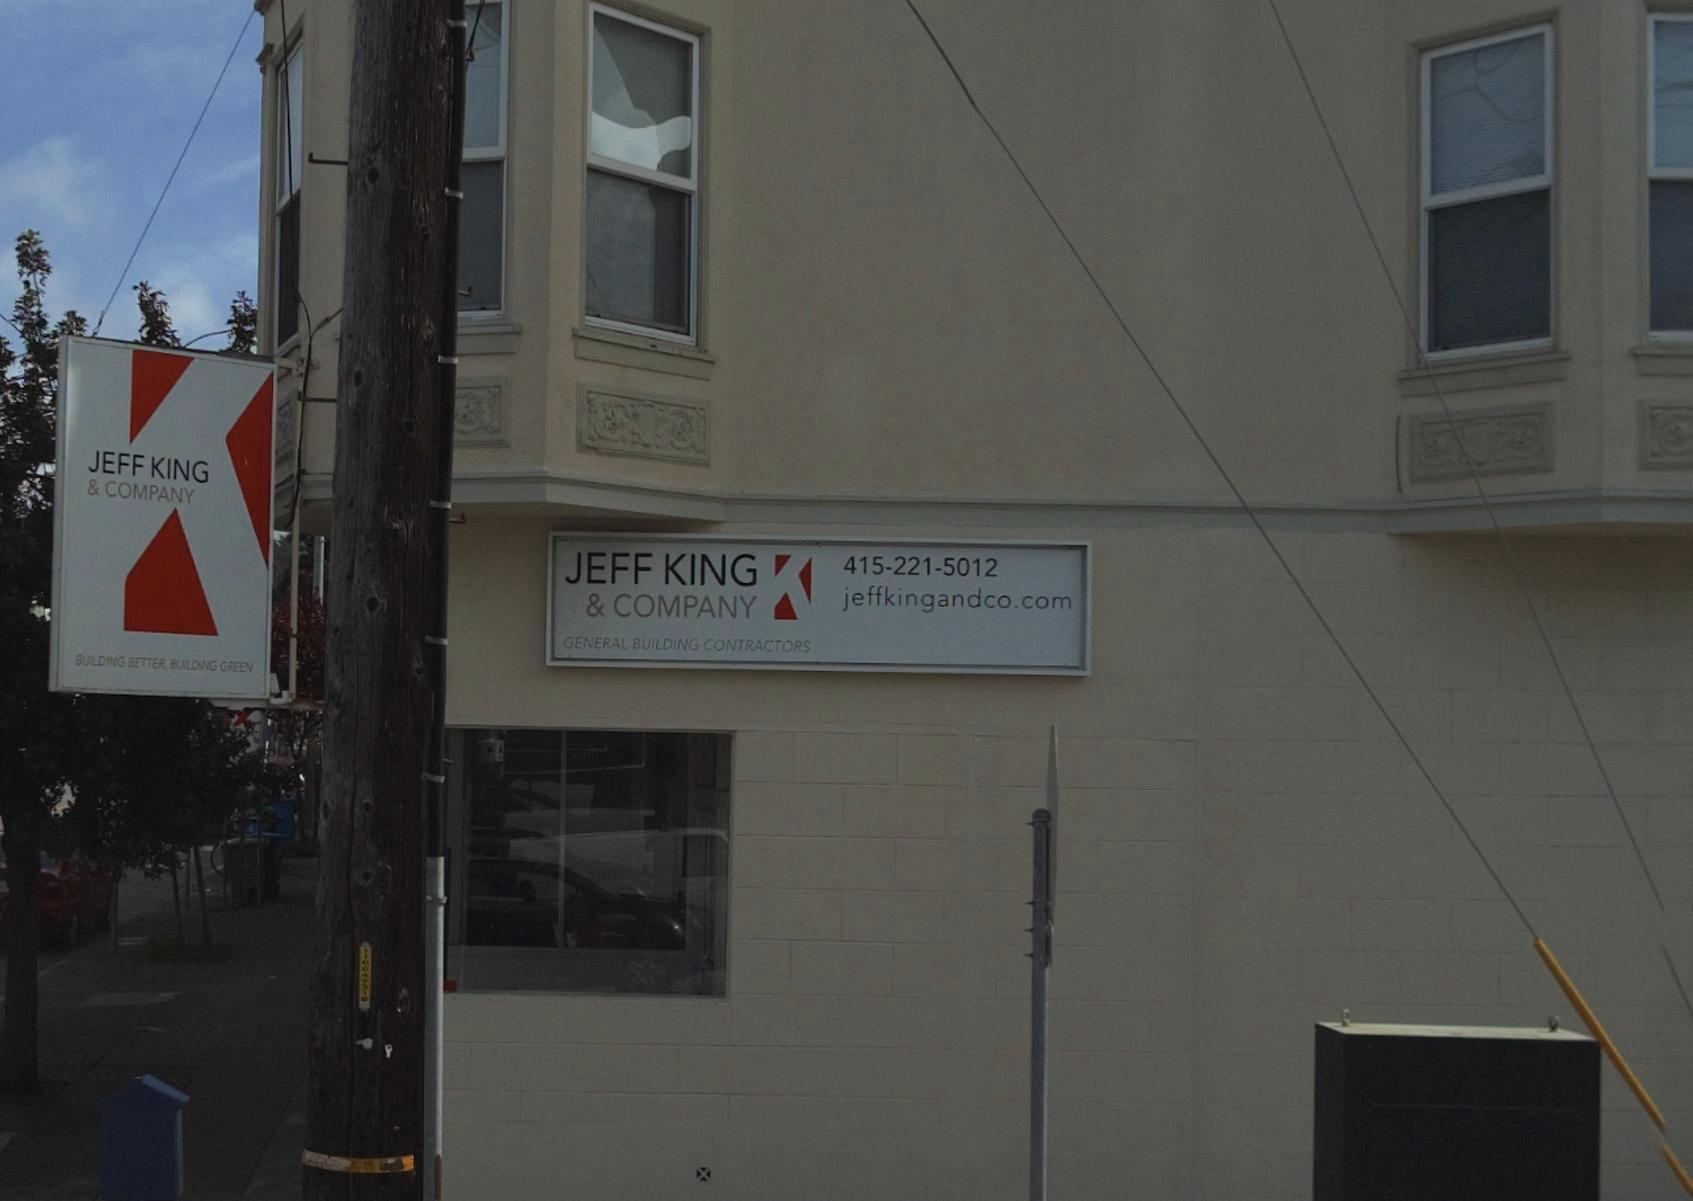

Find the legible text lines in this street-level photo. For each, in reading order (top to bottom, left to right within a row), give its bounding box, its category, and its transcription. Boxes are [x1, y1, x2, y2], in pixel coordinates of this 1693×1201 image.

[84, 444, 211, 489] BusinessName: JEFF KING
[85, 476, 199, 509] BusinessName: & COMPANY
[562, 546, 760, 589] BusinessName: JEFF KING
[841, 551, 1002, 579] None: 415-221-5012
[582, 589, 762, 624] BusinessName: & COMPANY
[840, 581, 1072, 615] None: jeffkingandco.com
[560, 634, 819, 655] None: GENERAL BUILDING CONTRACTORS
[71, 650, 257, 676] None: BUILDING BETTER, BUILDING GREEN
[358, 944, 370, 1006] None: 110047-1*